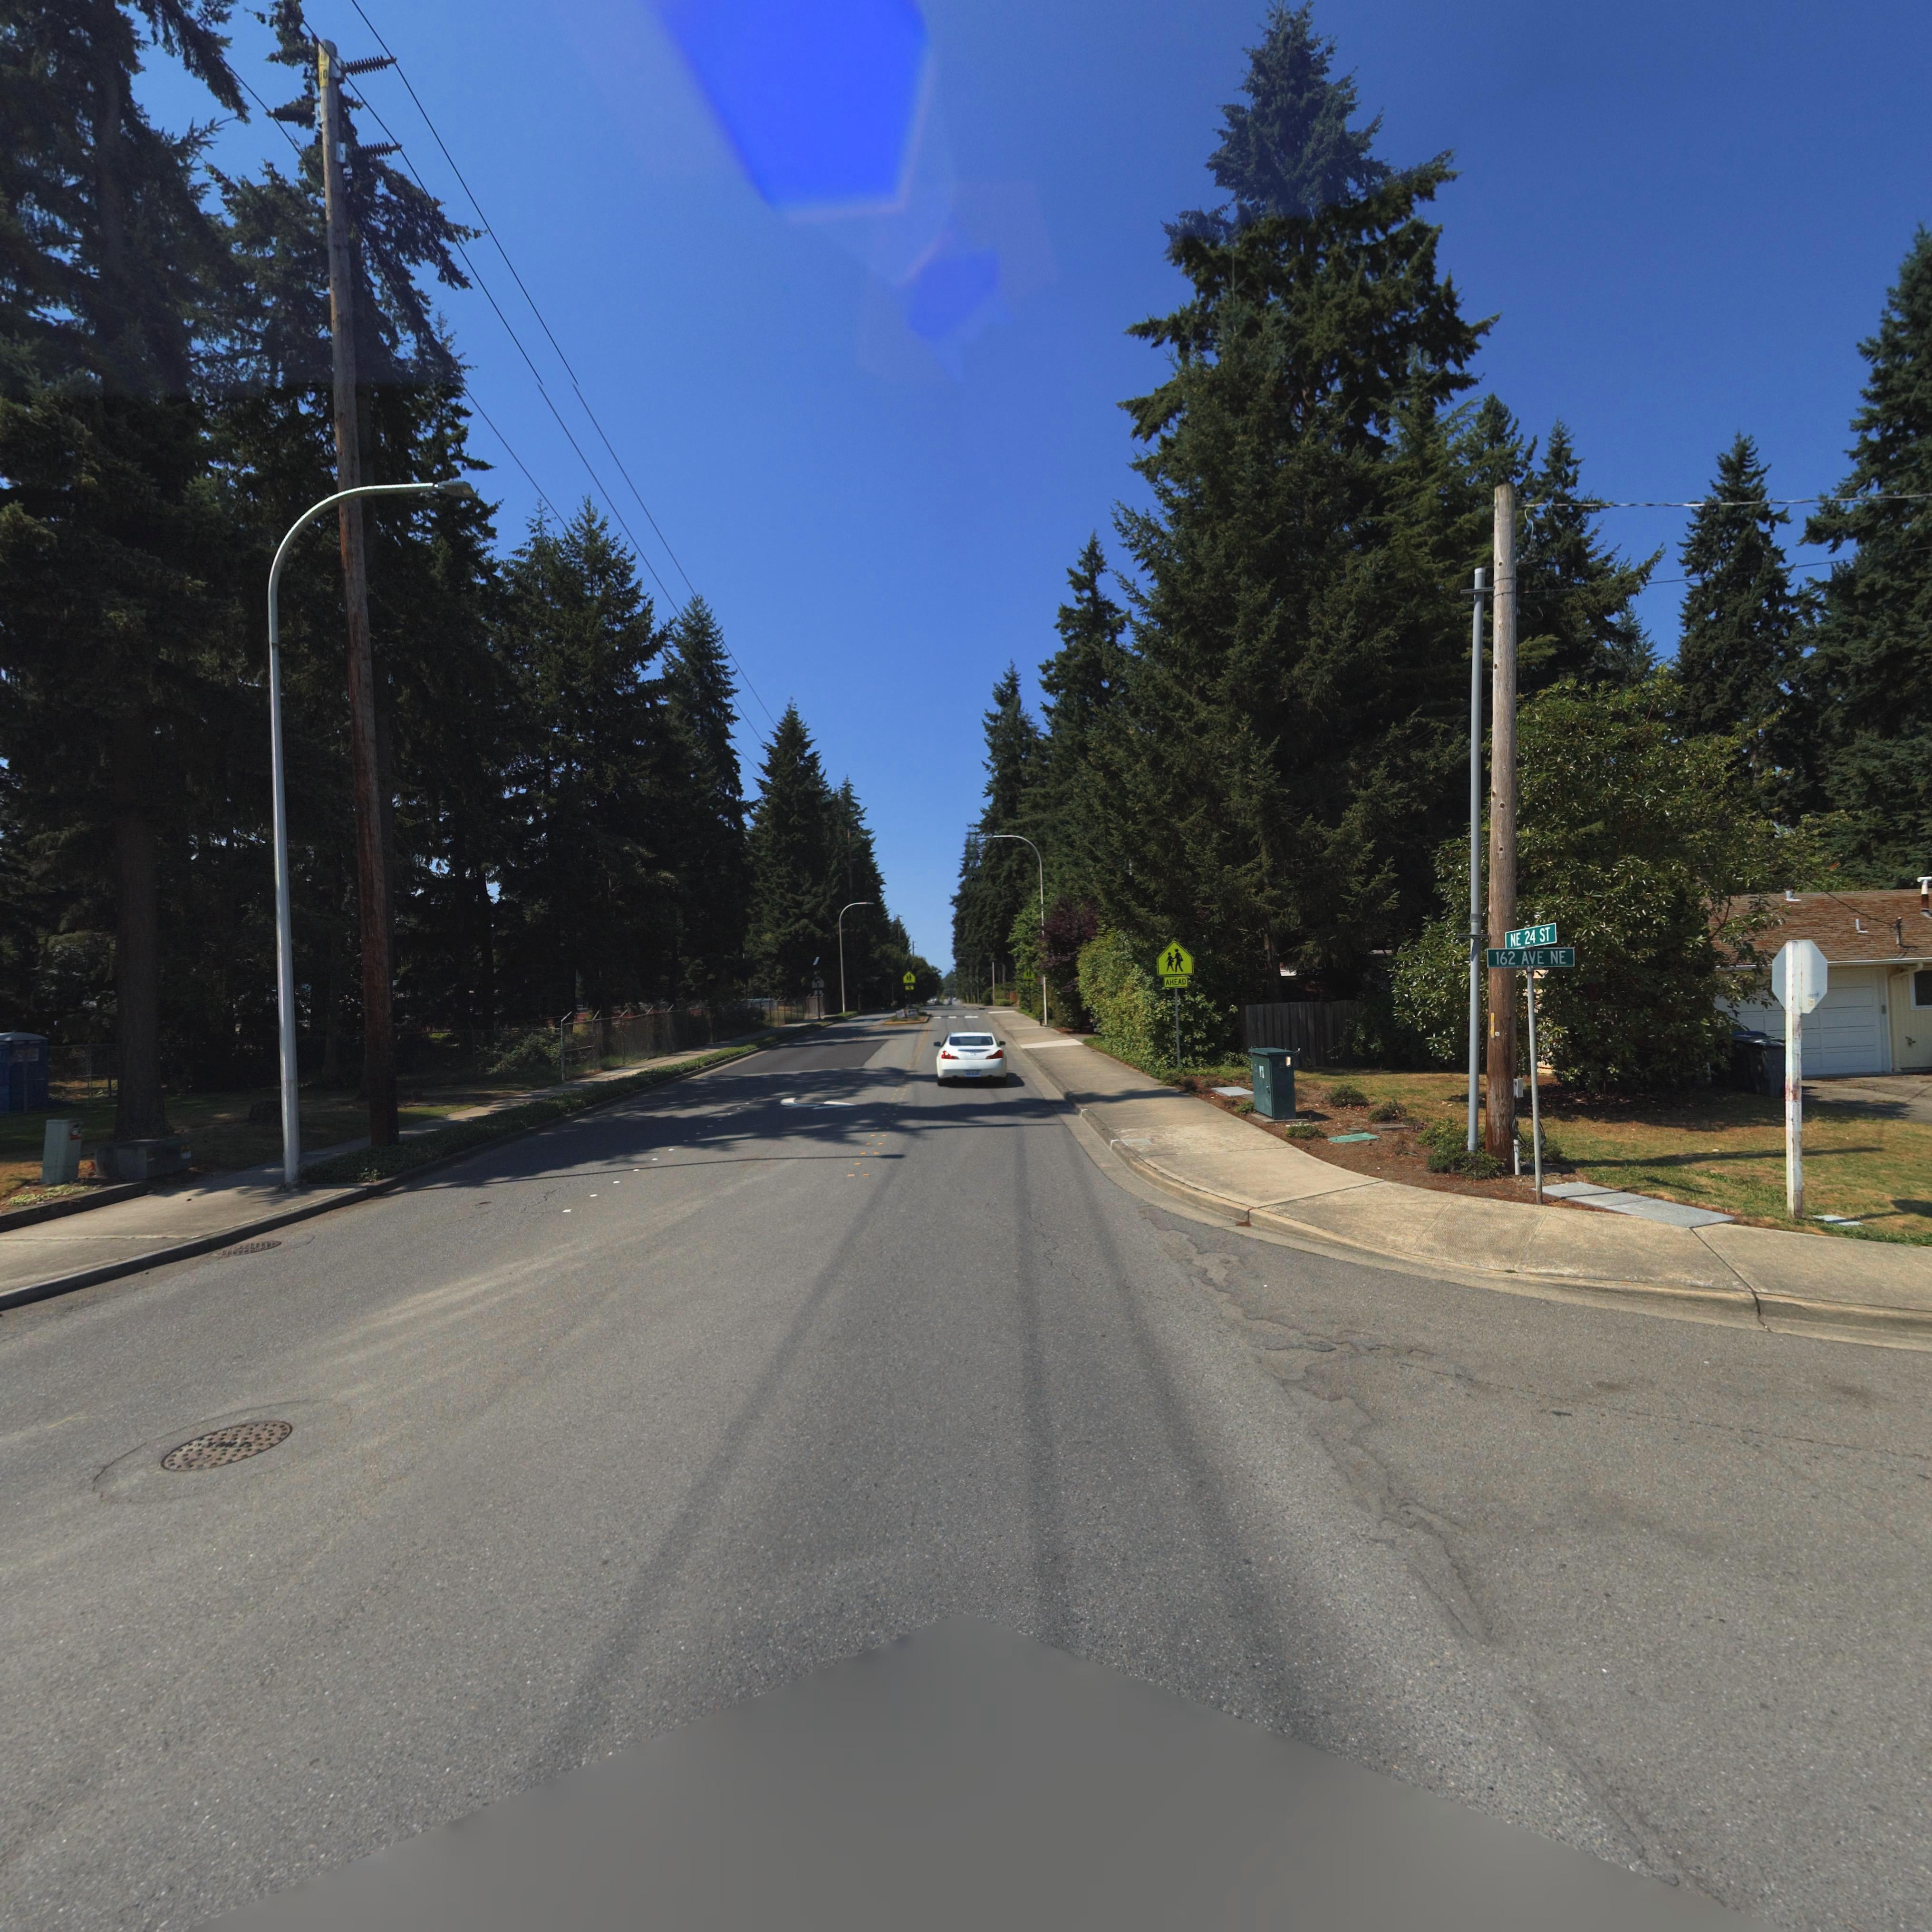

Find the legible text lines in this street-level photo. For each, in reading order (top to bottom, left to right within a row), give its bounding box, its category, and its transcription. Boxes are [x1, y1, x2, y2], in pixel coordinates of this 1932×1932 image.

[1510, 927, 1551, 947] StreetName: NE 24 ST
[1495, 950, 1566, 966] StreetName: 162 AVE NE